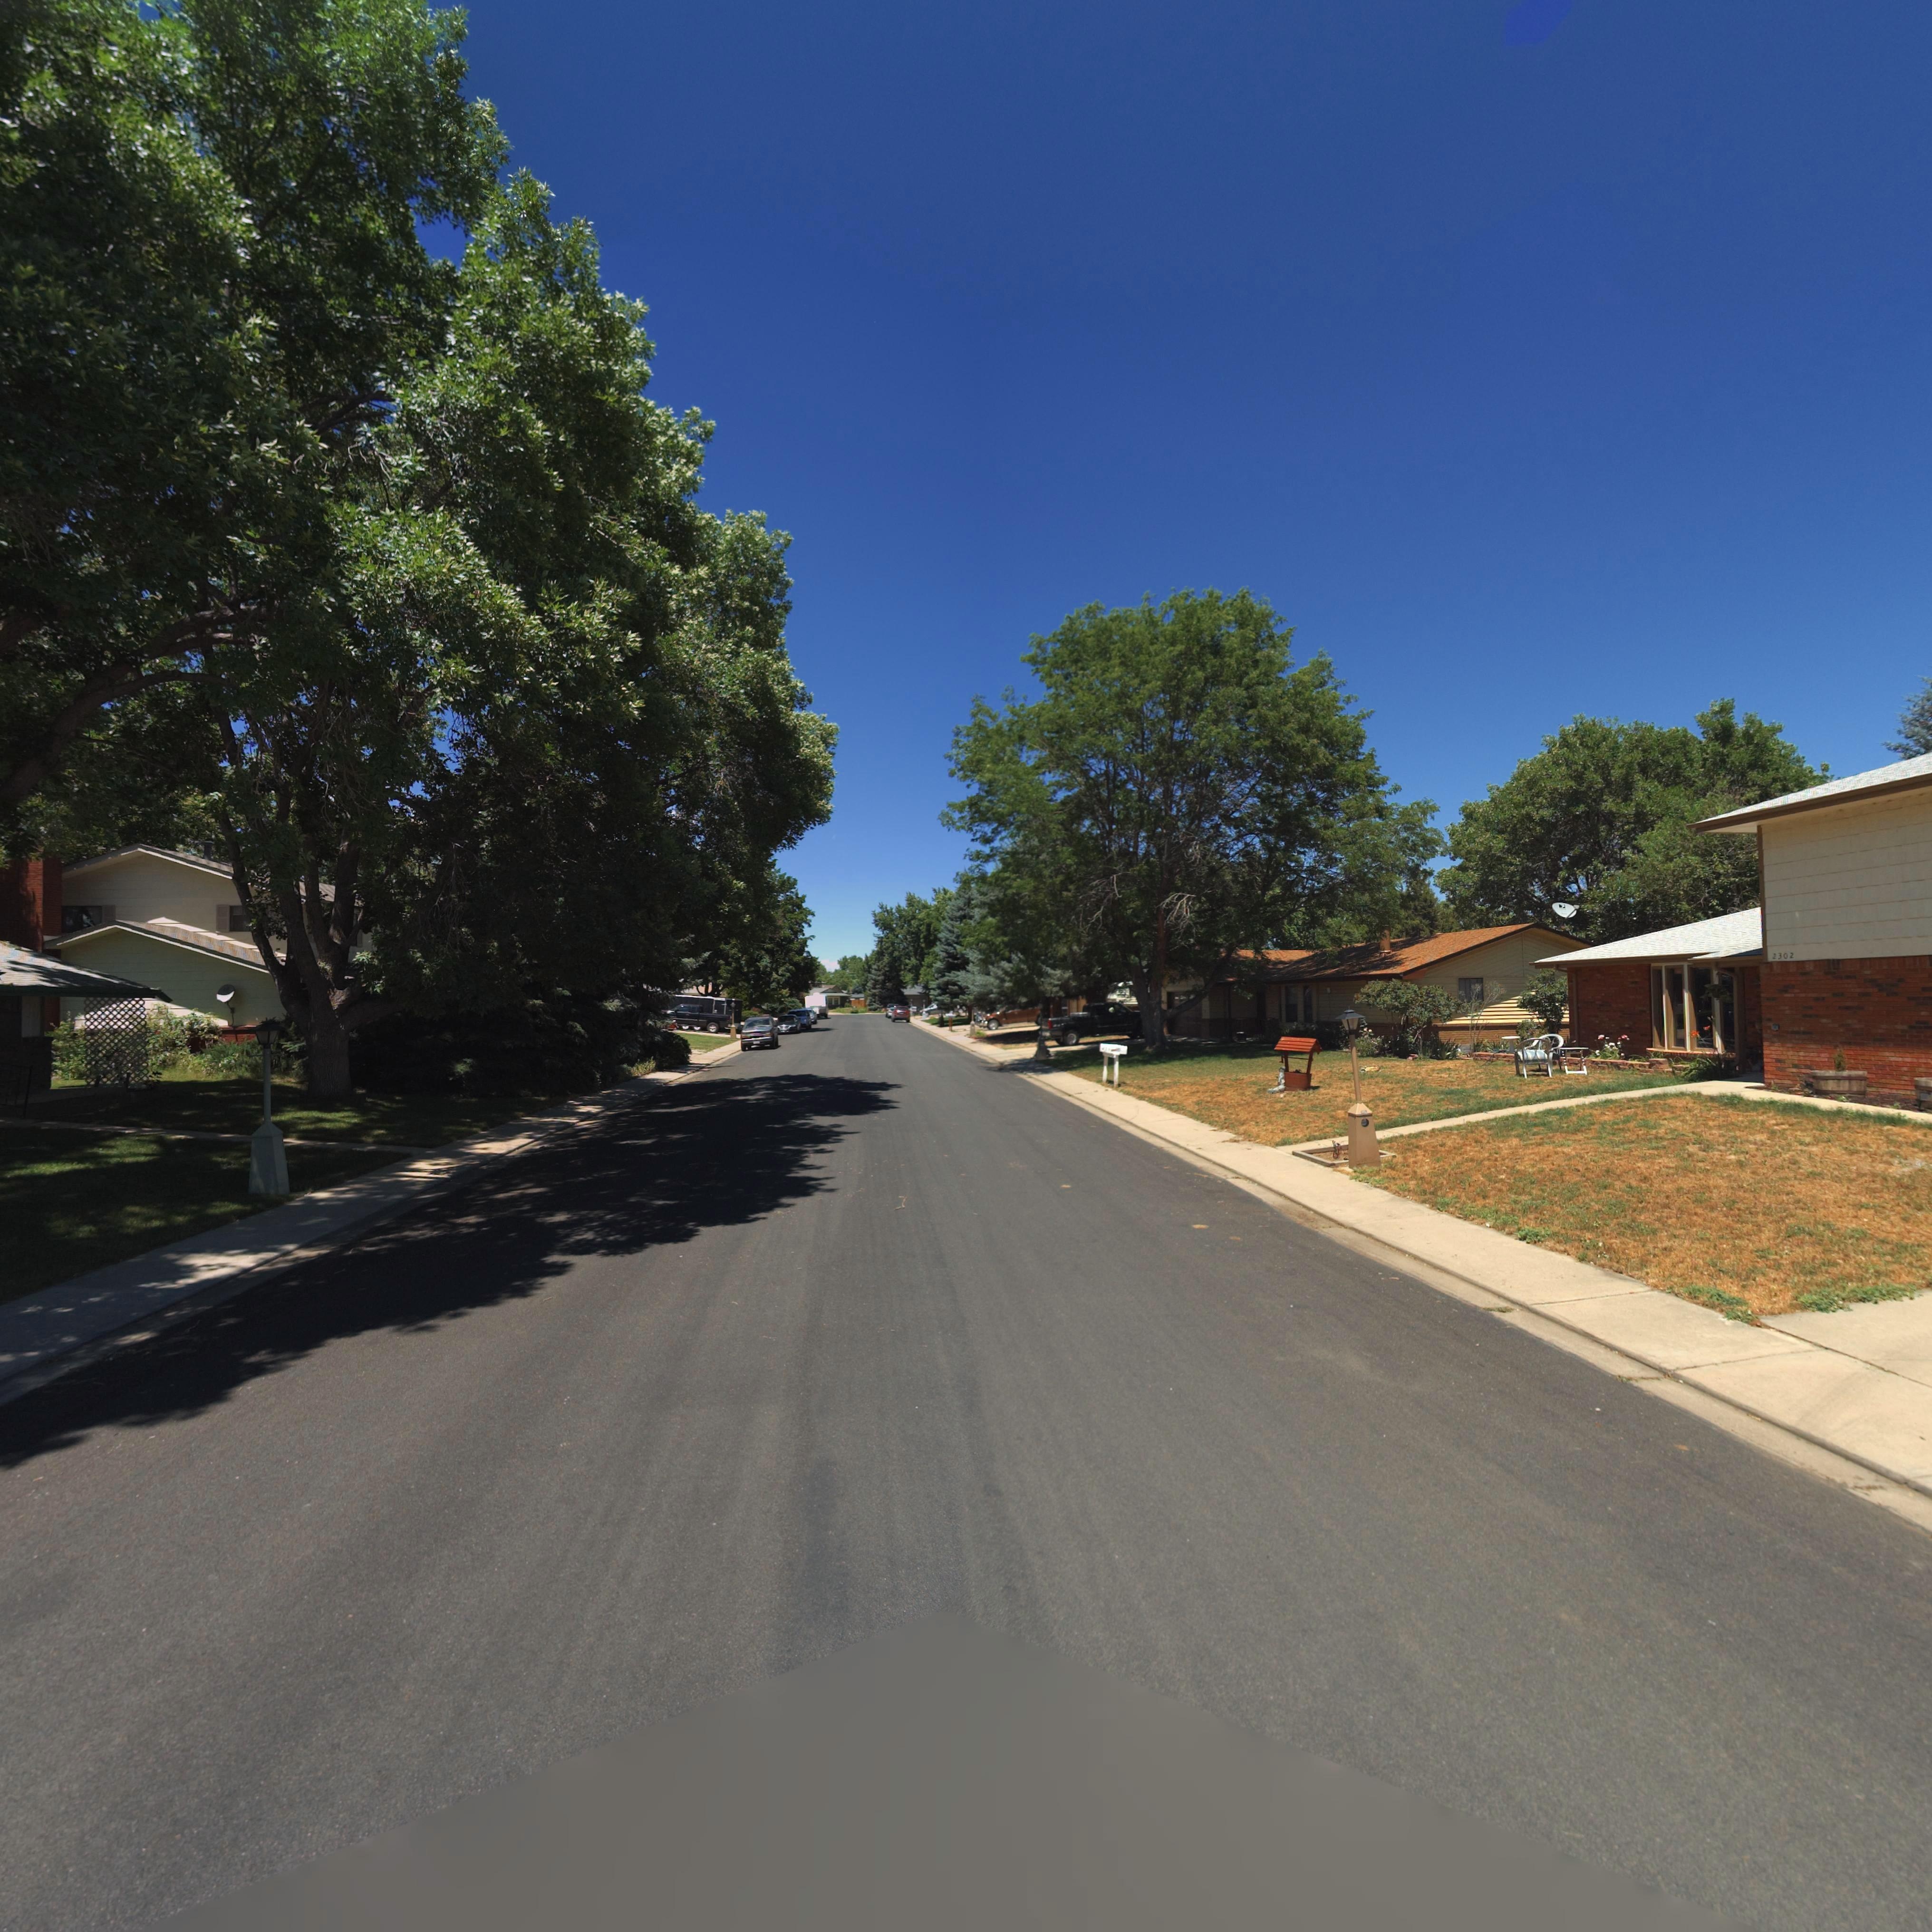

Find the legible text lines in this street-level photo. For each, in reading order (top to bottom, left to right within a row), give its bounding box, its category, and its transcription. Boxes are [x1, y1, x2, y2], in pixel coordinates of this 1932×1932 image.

[1772, 952, 1794, 960] StreetNumber: 2302